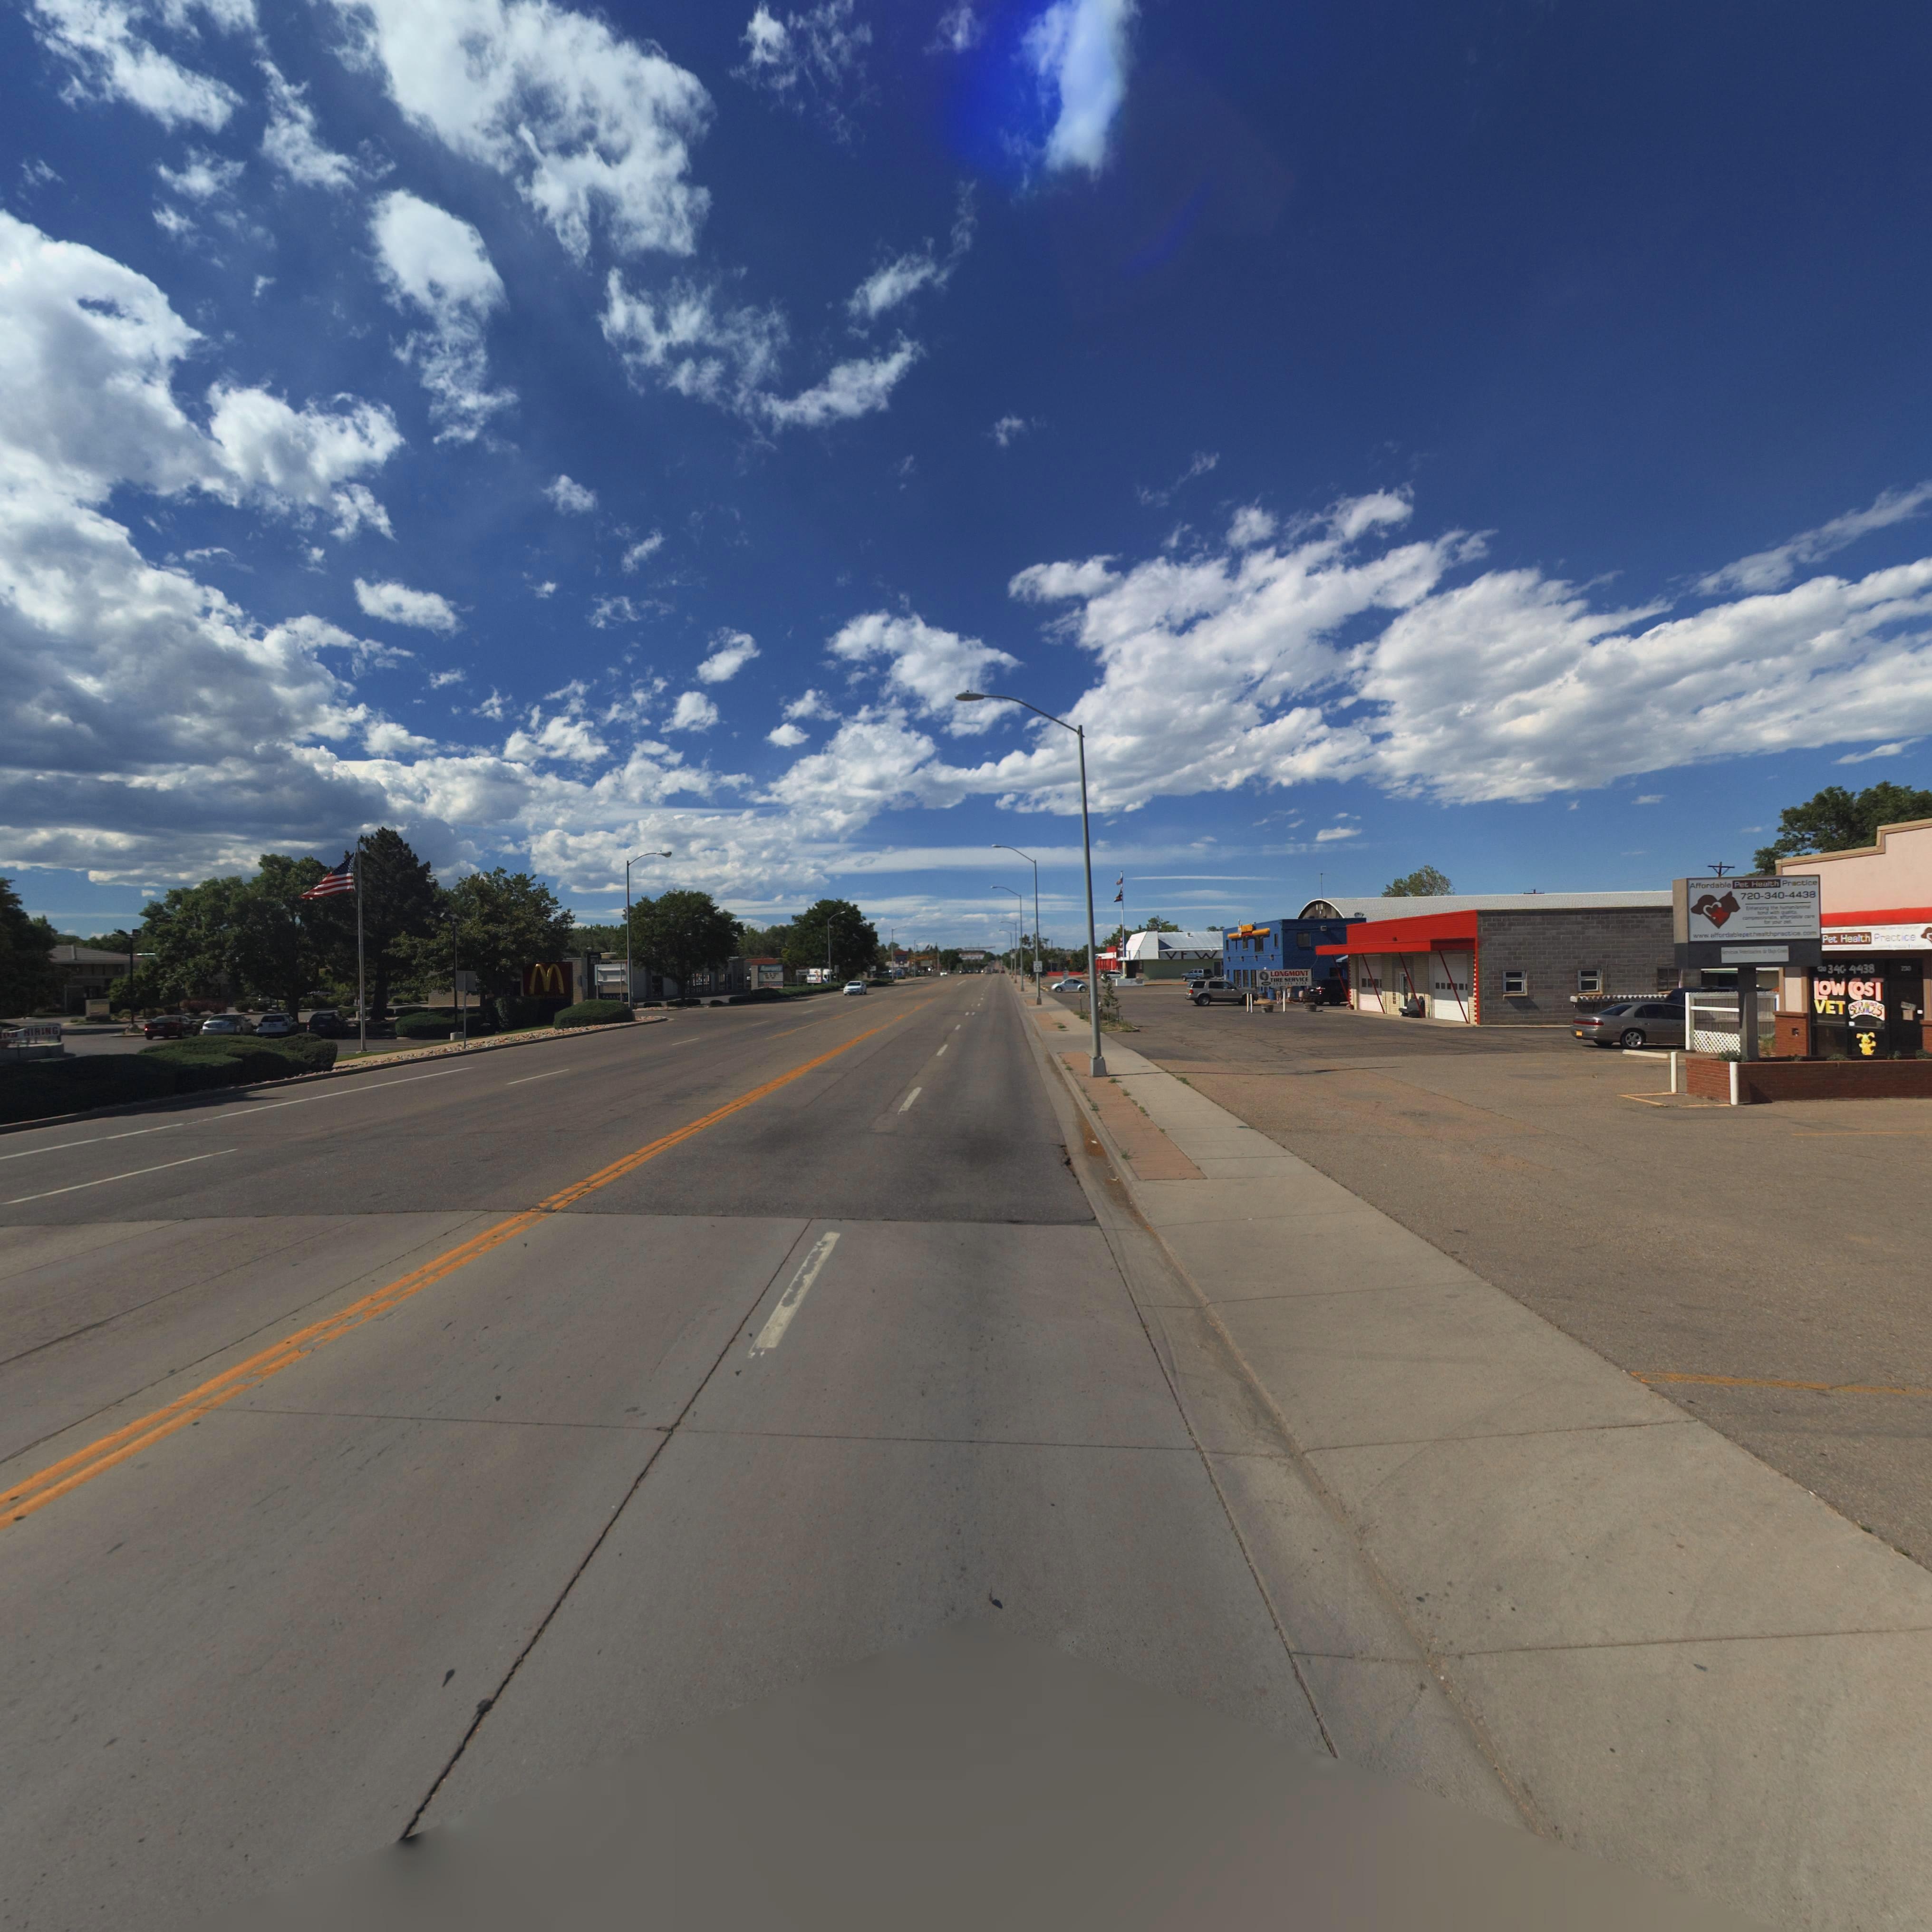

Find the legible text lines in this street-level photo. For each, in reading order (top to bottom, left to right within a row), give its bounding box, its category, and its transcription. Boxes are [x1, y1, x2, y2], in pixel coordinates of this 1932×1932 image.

[1689, 879, 1818, 889] BusinessName: Affordable Pet Health Practice
[1119, 937, 1123, 947] BusinessName: VF
[1821, 933, 1916, 944] BusinessName: Pet Health Practice
[1164, 950, 1218, 959] BusinessName: VFW
[760, 965, 782, 971] BusinessName: Aaro*s
[1900, 965, 1912, 971] StreetNumber: 2**
[1270, 970, 1308, 976] BusinessName: LONGMONT
[1269, 976, 1309, 982] BusinessName: TIRE SERVICE